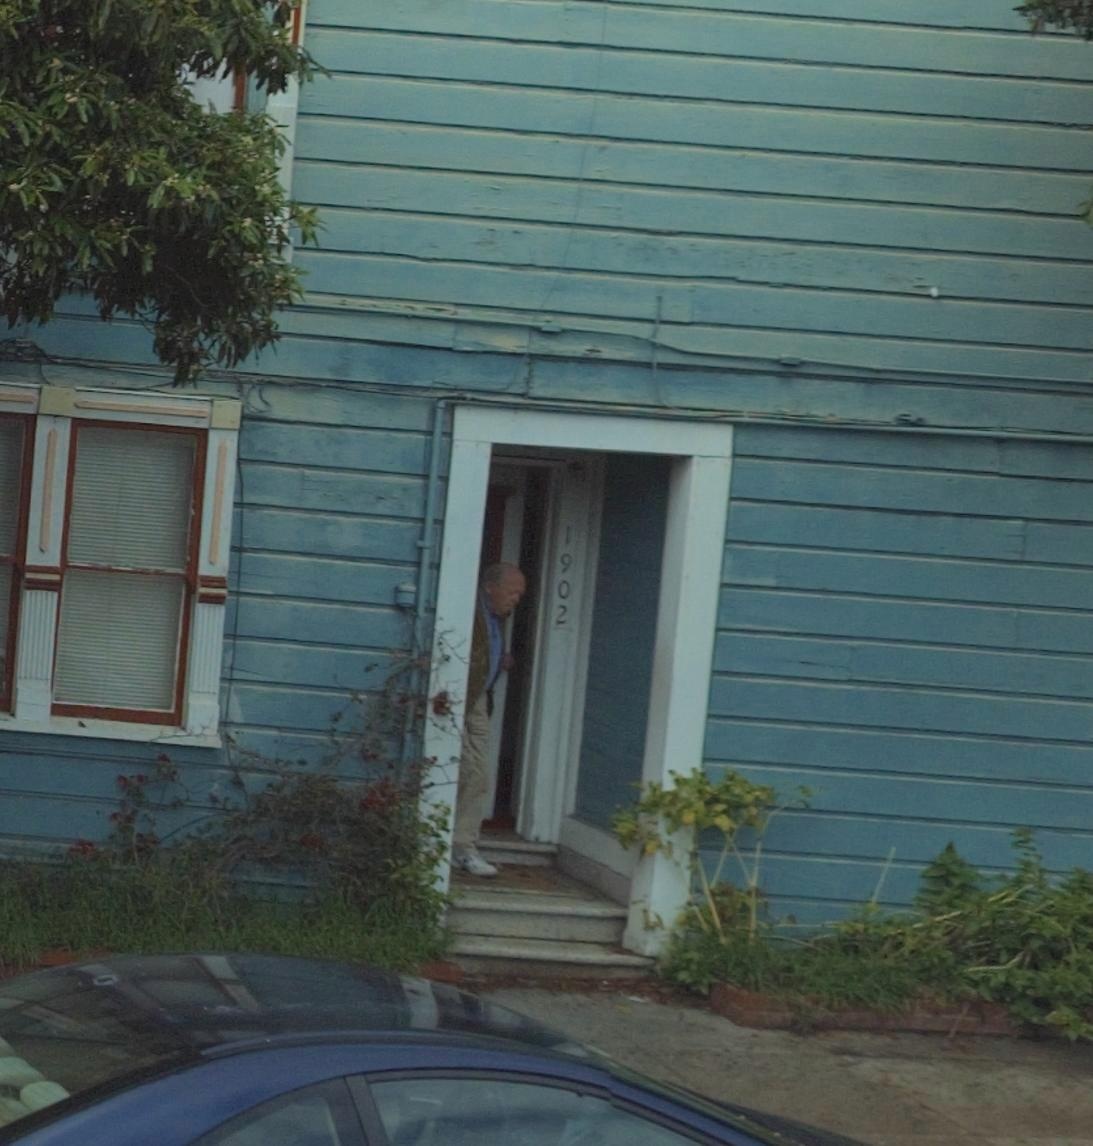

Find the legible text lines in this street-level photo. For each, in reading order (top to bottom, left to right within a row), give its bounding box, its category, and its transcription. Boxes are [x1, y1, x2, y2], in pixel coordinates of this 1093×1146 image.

[551, 523, 578, 629] StreetNumber: 1902